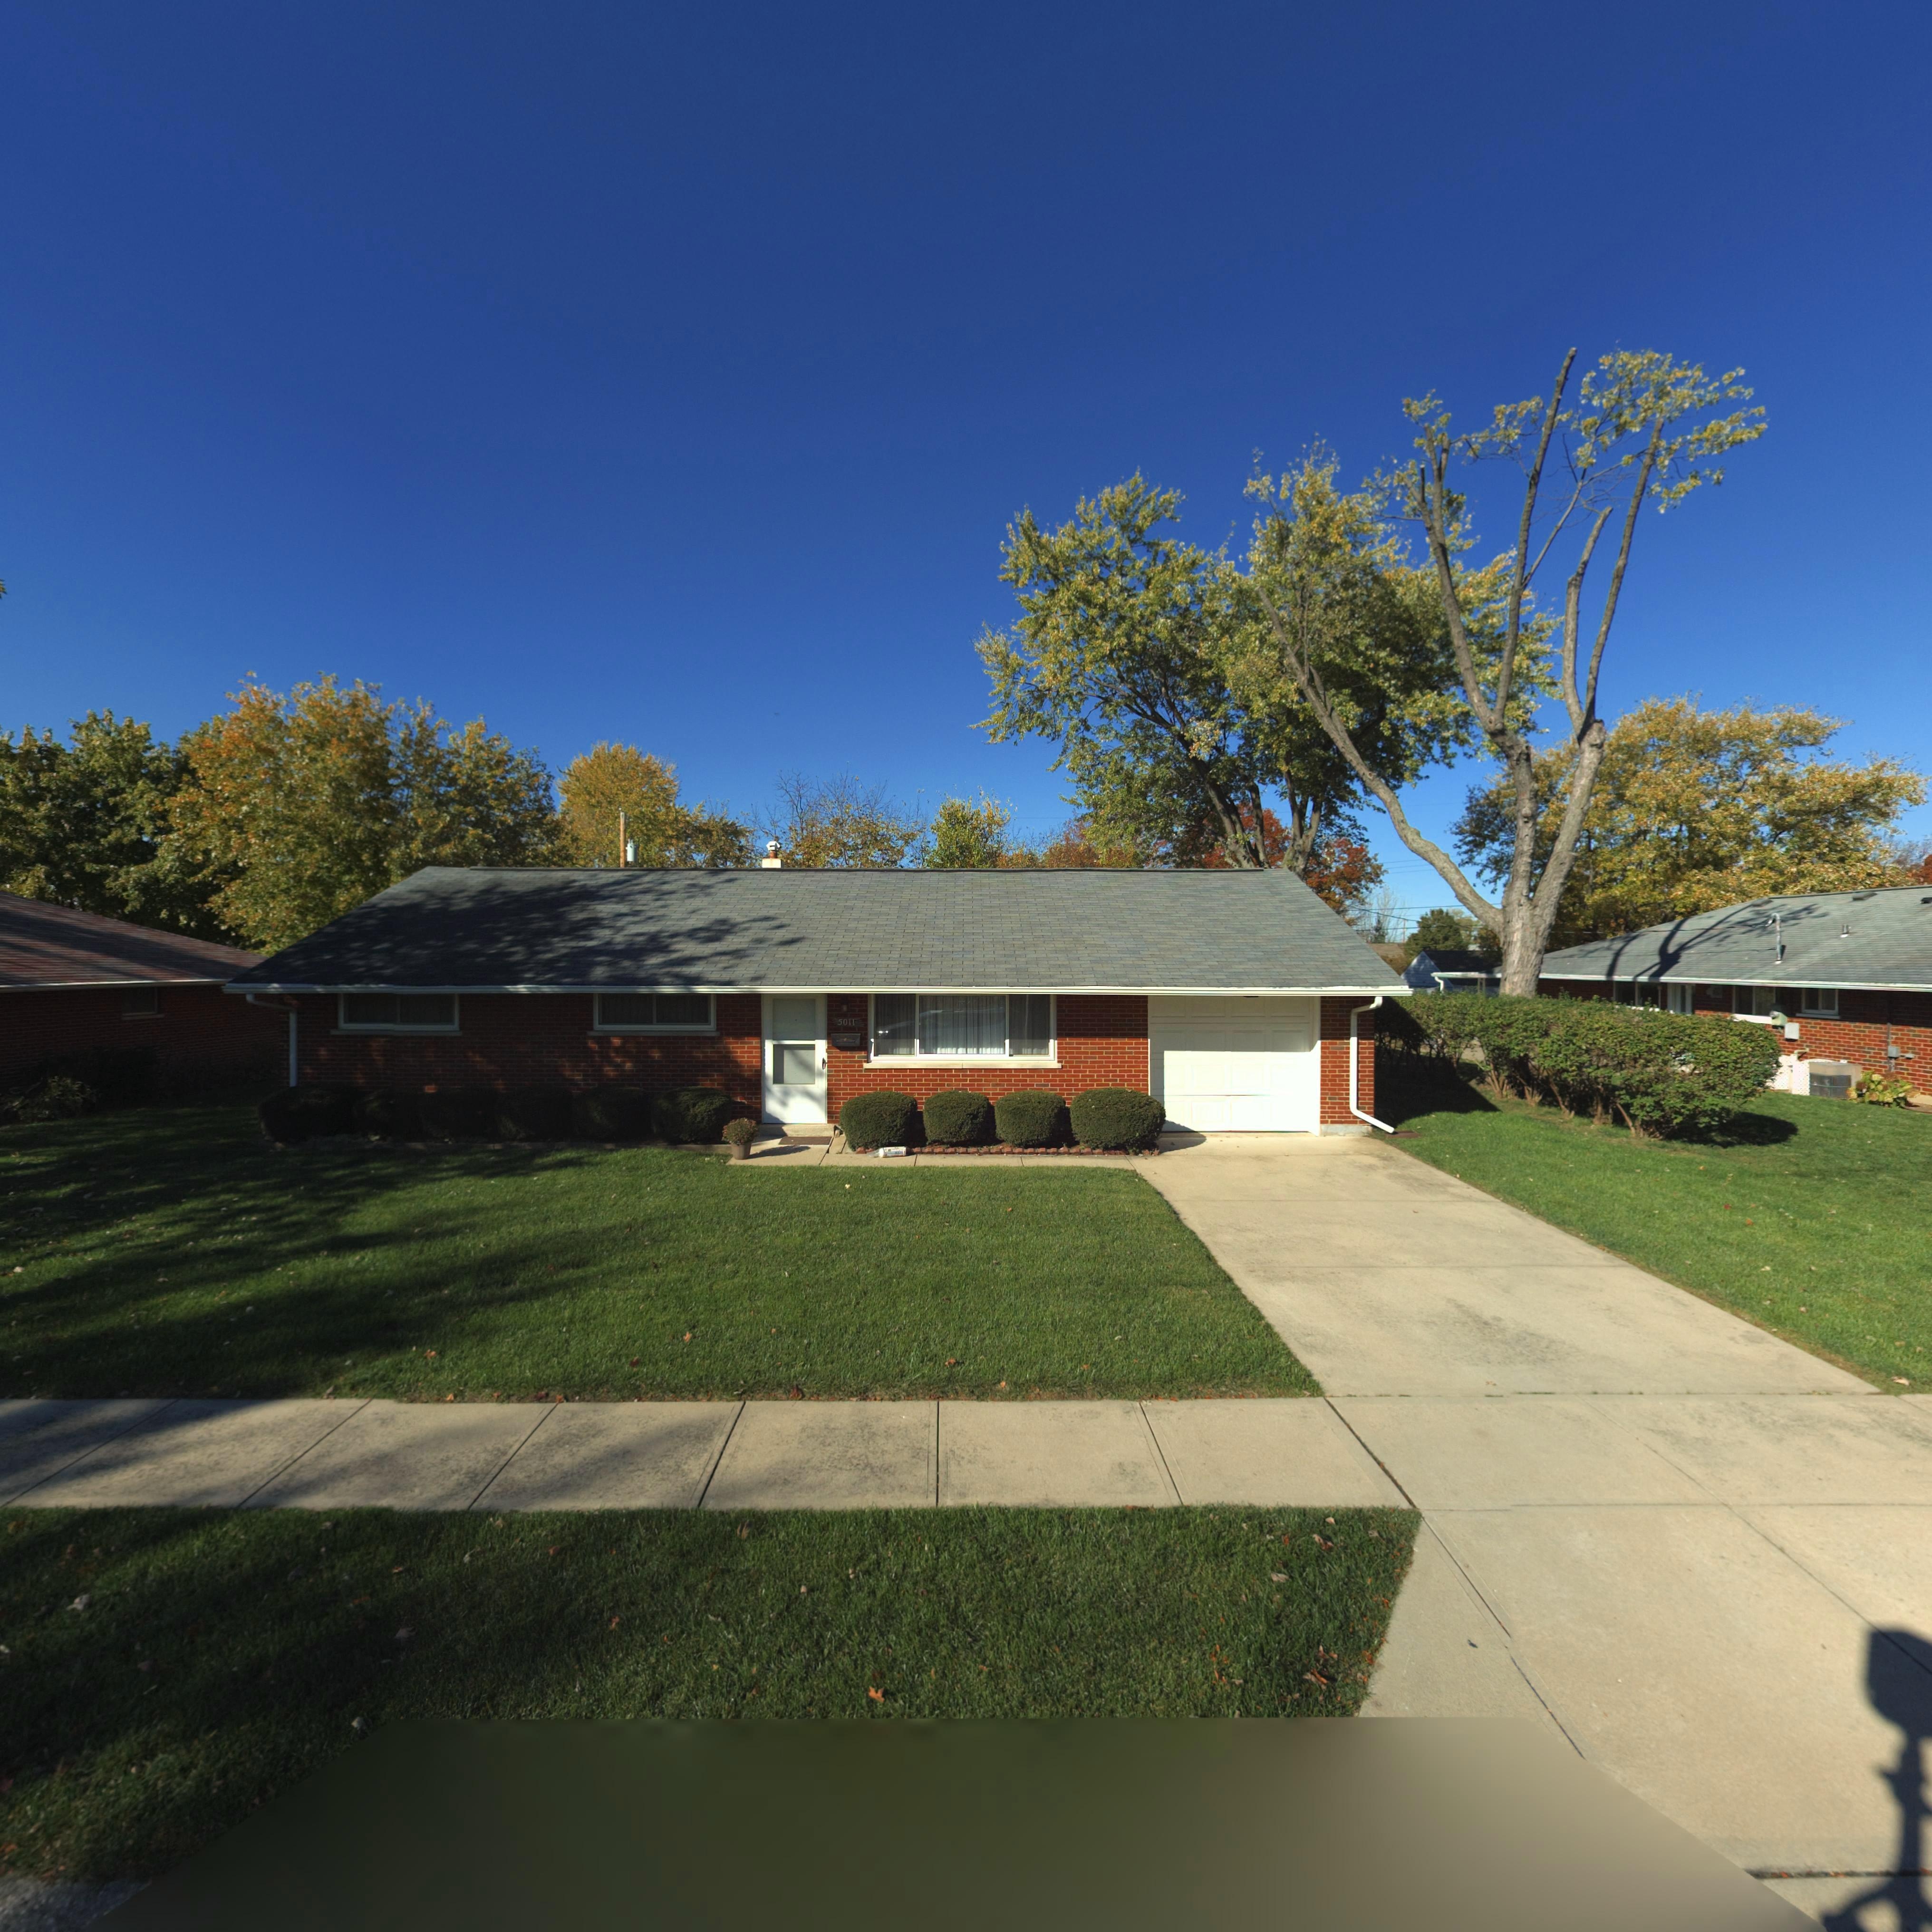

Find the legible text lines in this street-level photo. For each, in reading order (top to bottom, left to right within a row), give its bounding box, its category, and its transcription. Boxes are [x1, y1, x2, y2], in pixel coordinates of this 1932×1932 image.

[837, 1018, 856, 1026] StreetNumber: 5011